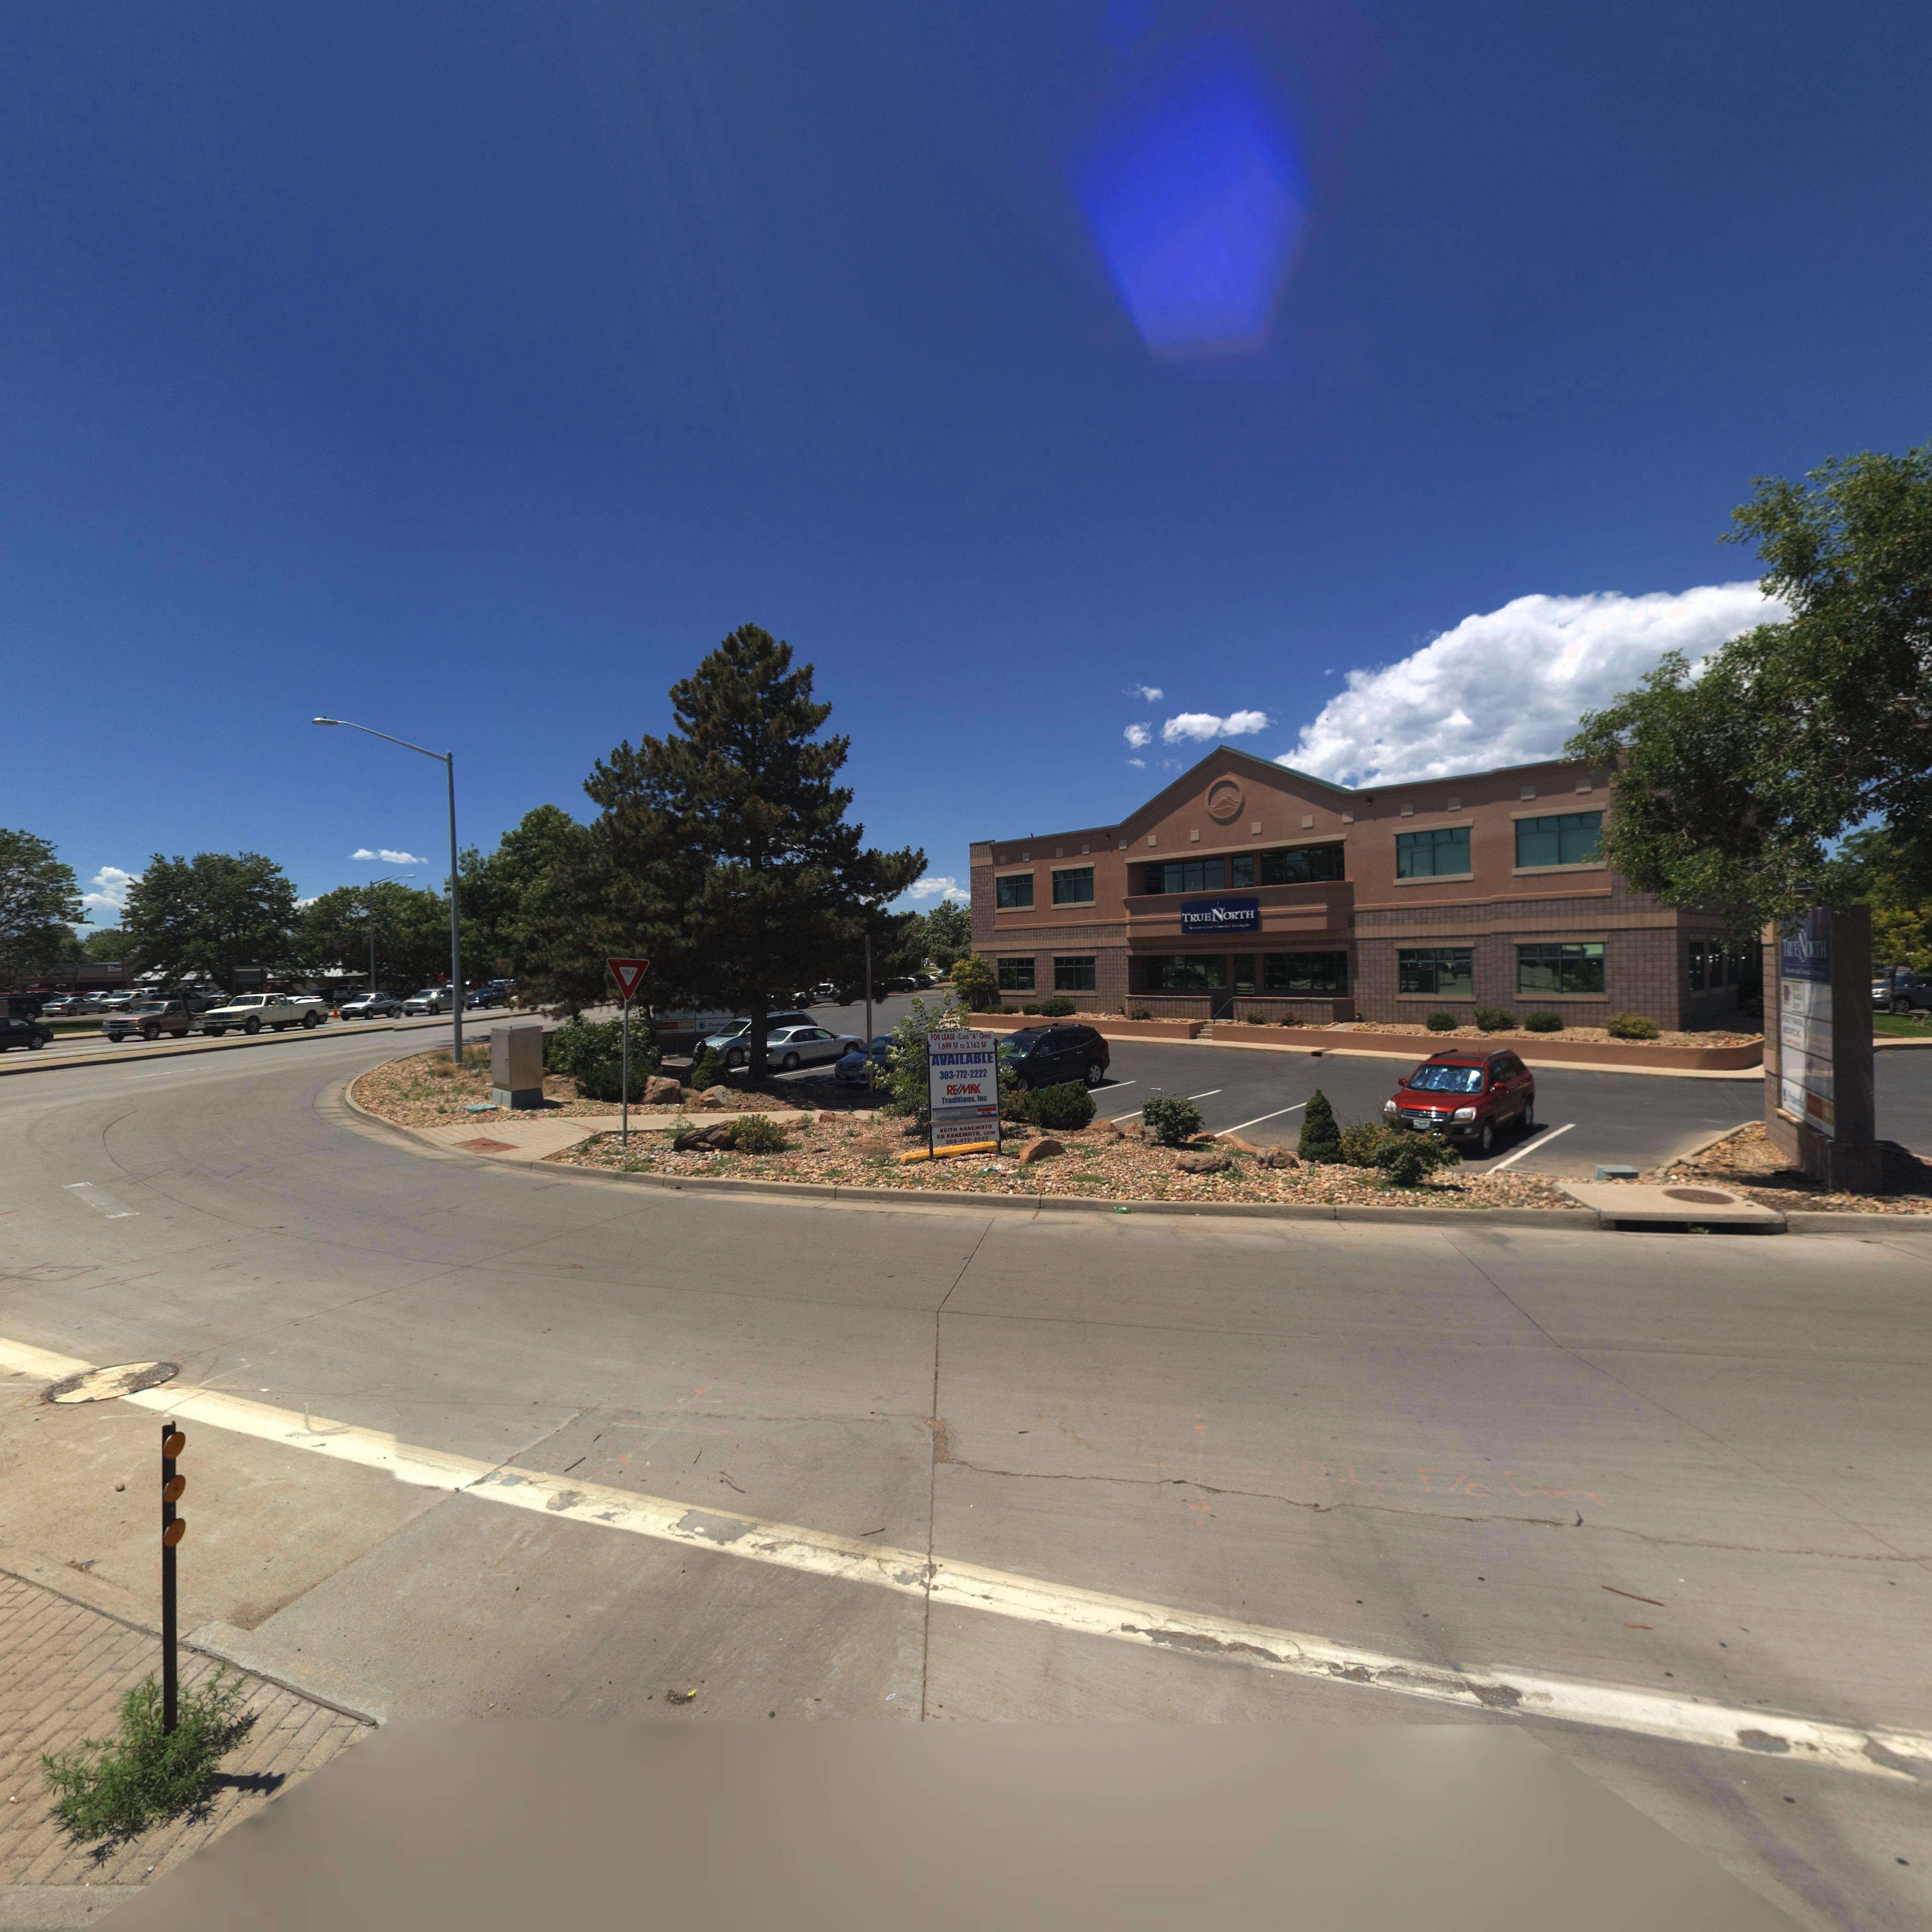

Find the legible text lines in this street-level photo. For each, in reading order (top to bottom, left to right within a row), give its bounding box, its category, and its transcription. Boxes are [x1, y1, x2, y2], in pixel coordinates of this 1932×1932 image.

[1181, 908, 1255, 922] BusinessName: TRUE NORTH
[1781, 931, 1827, 960] BusinessName: T*E NO*TH
[707, 1021, 729, 1027] BusinessName: Prud***